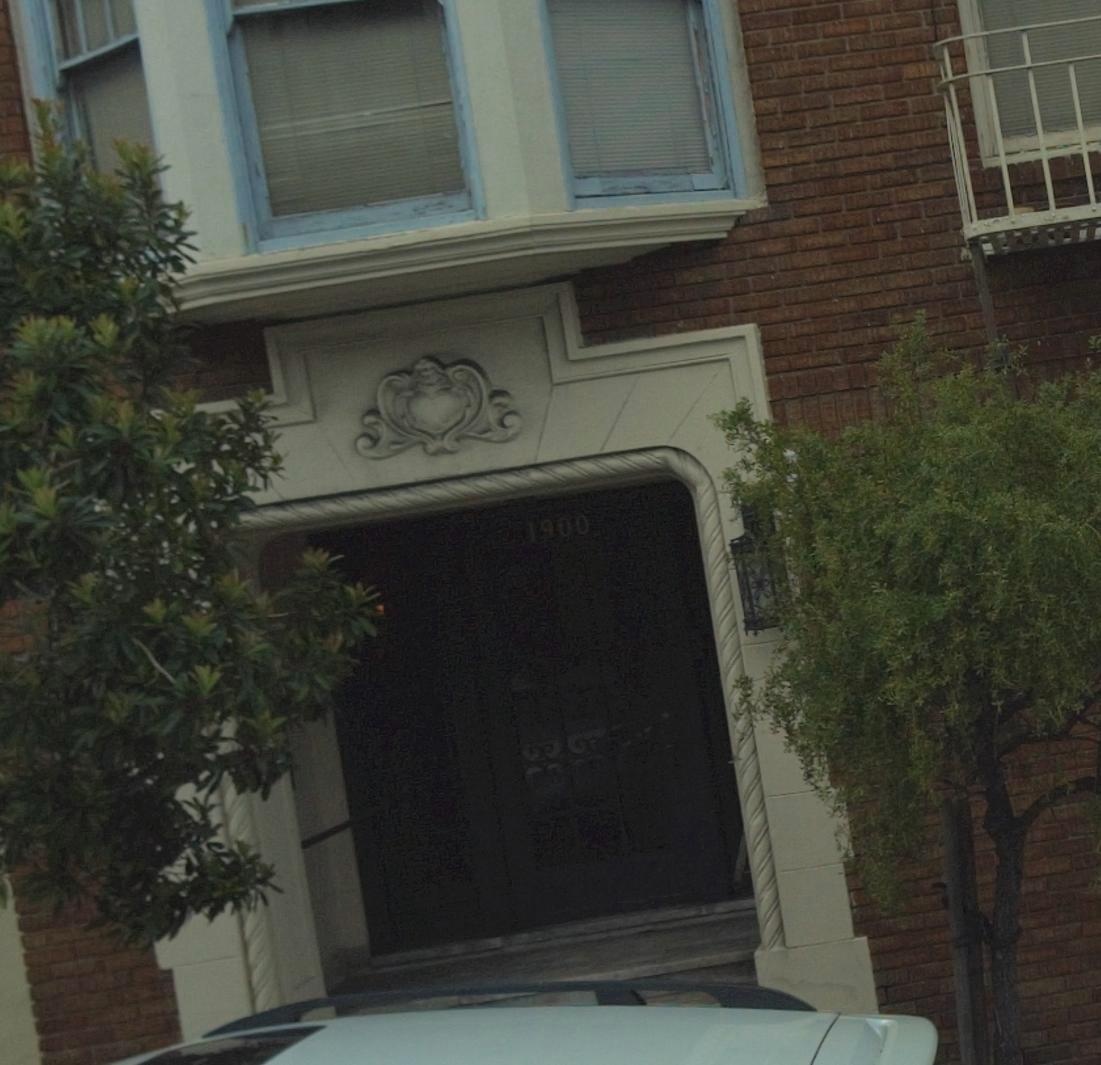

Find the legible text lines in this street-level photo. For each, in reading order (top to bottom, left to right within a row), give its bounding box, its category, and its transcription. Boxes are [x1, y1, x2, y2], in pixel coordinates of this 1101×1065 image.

[524, 512, 593, 545] StreetNumber: 1900